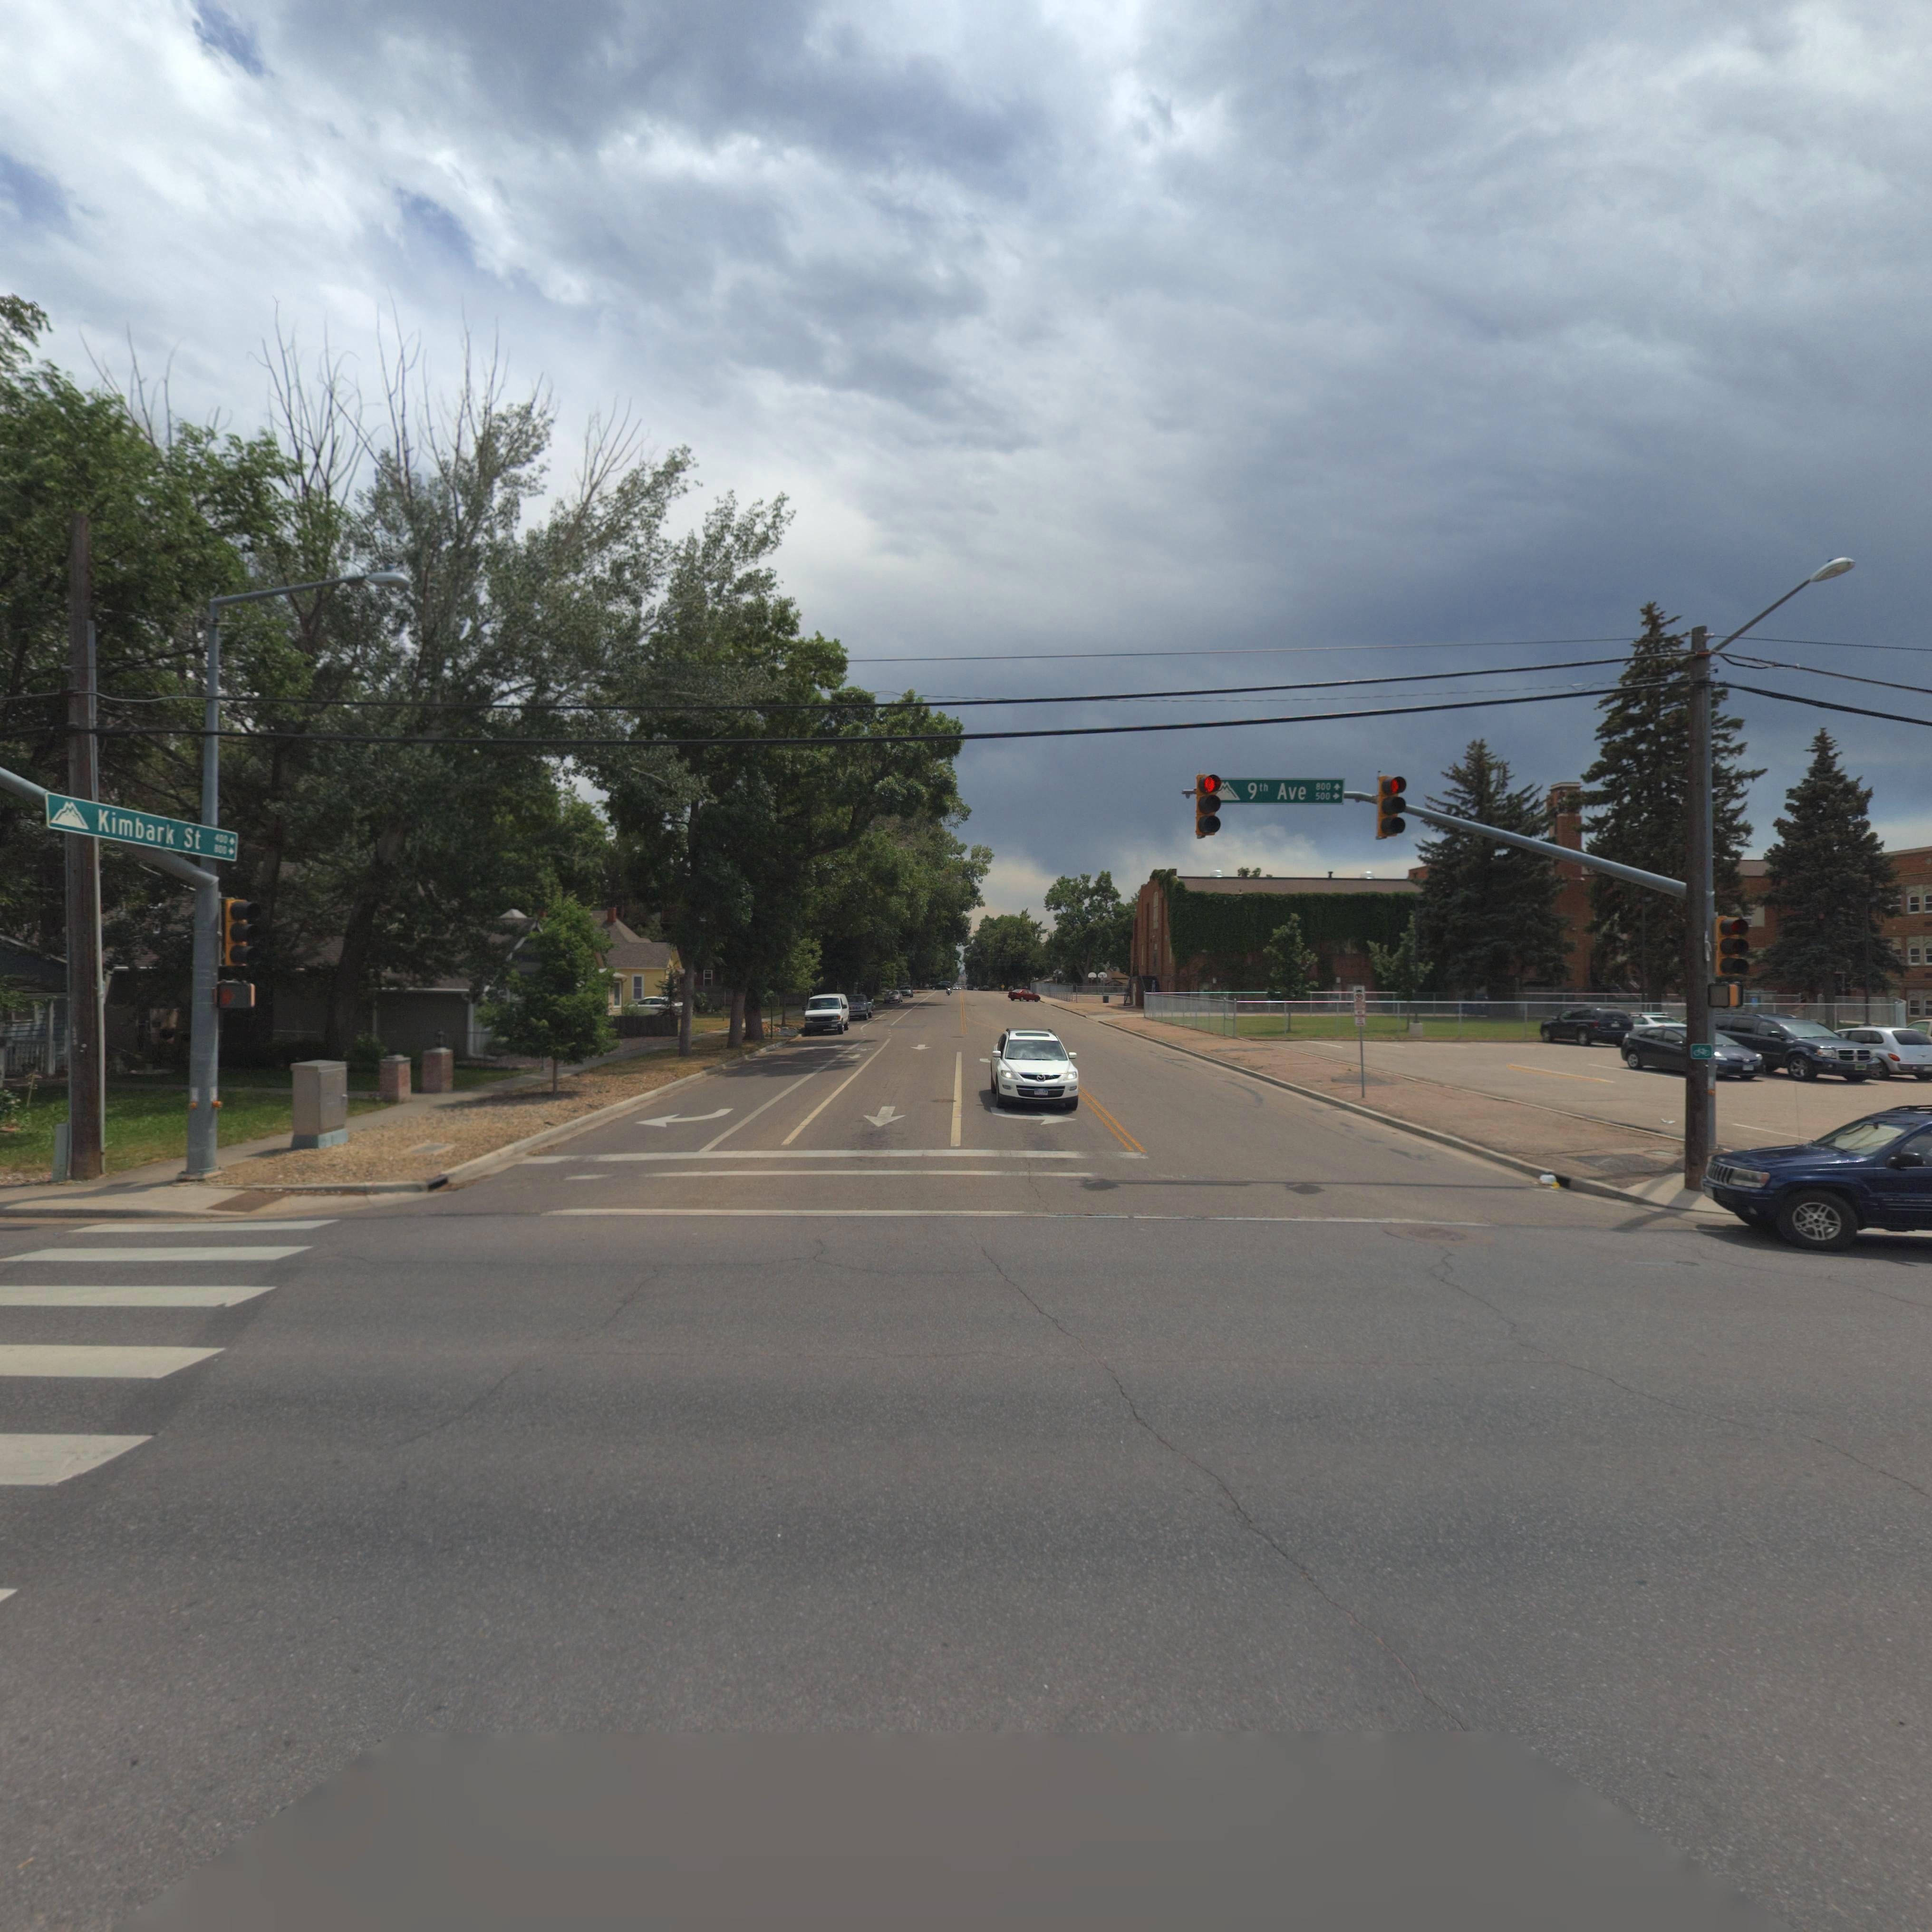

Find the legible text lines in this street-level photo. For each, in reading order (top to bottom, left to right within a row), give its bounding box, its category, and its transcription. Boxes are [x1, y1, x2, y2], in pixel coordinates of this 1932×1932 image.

[1247, 782, 1305, 801] StreetName: 9th Ave
[1315, 782, 1331, 791] StreetNumberRange: 800
[1315, 792, 1340, 800] None: 500->
[98, 808, 201, 850] StreetName: Kimbark St
[214, 833, 228, 844] StreetNumberRange: 400
[213, 843, 235, 855] StreetNumberRange: 800->